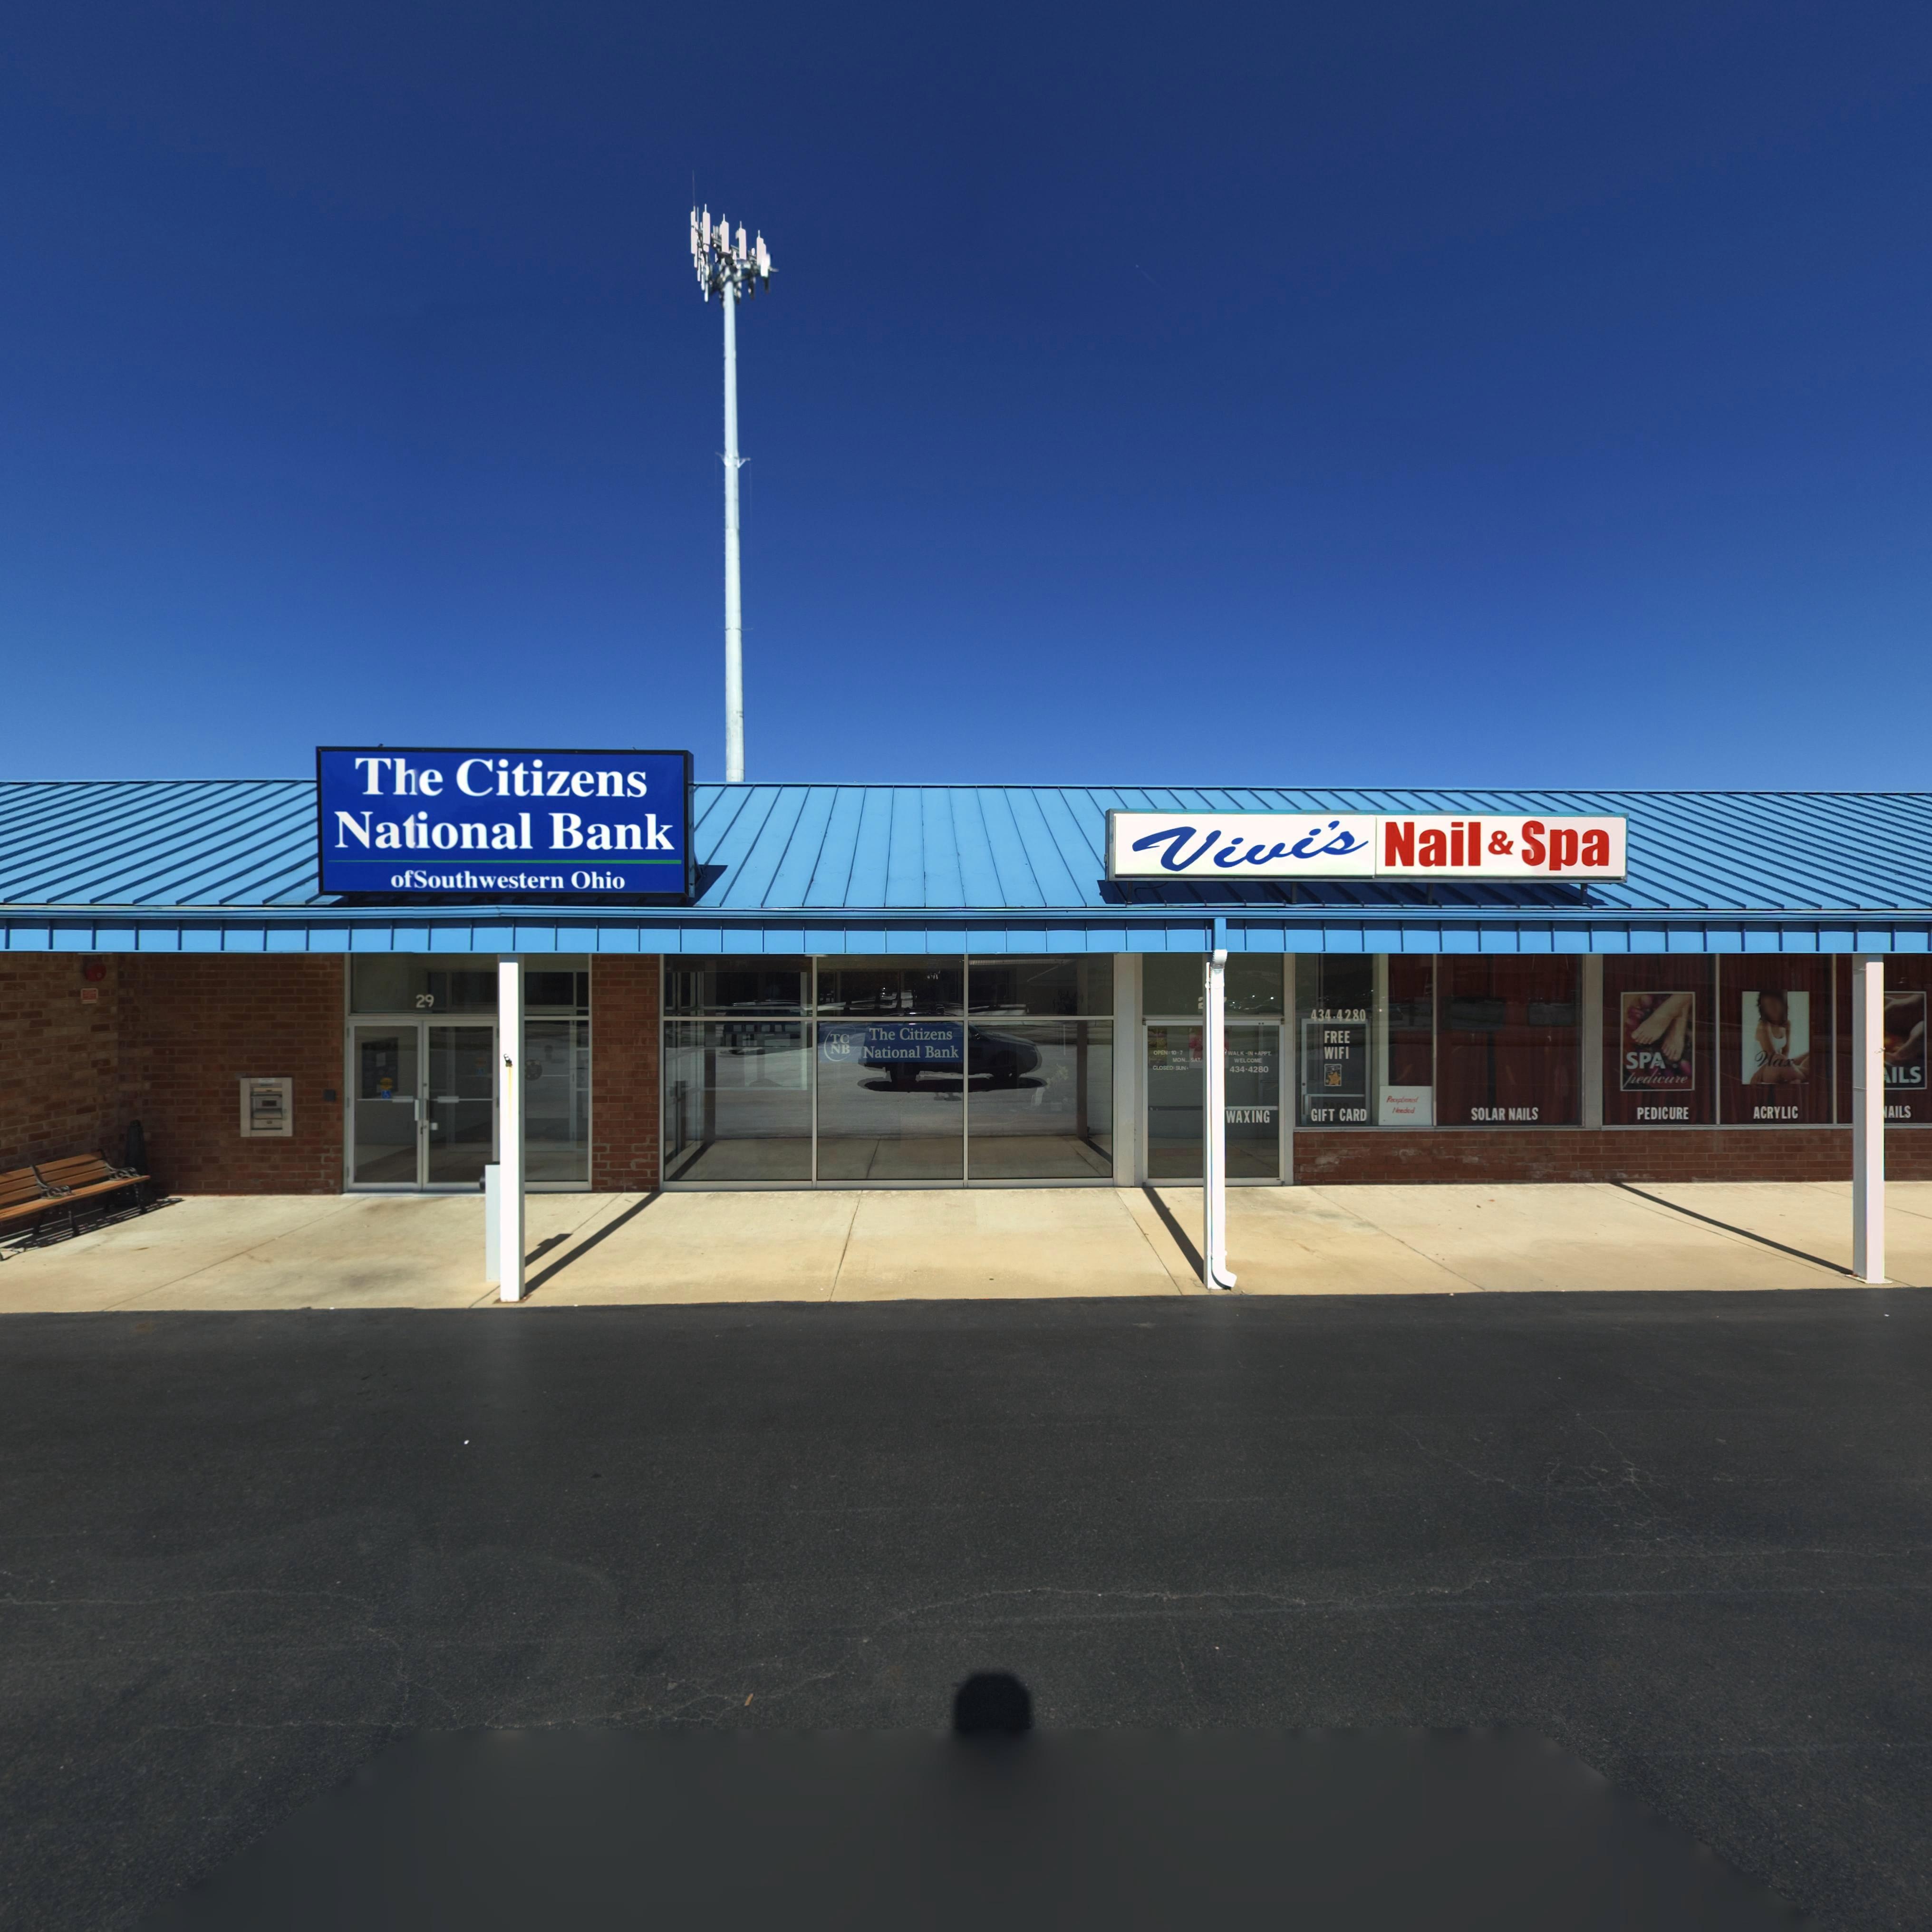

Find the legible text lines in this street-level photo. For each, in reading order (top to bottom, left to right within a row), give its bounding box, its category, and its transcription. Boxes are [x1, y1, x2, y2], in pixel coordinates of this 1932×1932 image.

[352, 756, 649, 800] BusinessName: The Citizens
[331, 810, 676, 851] BusinessName: National Bank
[1128, 819, 1611, 874] BusinessName: Vivi's Nail & Spa
[388, 868, 627, 891] BusinessName: of Southwestern Ohio
[415, 993, 435, 1009] StreetNumber: 29
[1309, 1008, 1367, 1023] None: 434-4280
[829, 1032, 851, 1044] None: TC
[867, 1026, 954, 1042] BusinessName: The Citizens
[1323, 1030, 1352, 1044] None: FREE
[829, 1043, 851, 1055] None: NB
[861, 1044, 960, 1059] BusinessName: National Bank
[1152, 1050, 1184, 1055] None: OPEN 10-7
[1152, 1065, 1187, 1071] None: CLOSED: SUN
[1172, 1057, 1186, 1063] None: MON
[1190, 1057, 1201, 1063] None: SAT
[1233, 1057, 1263, 1063] None: WELCOME
[1228, 1065, 1269, 1073] None: 434-4280
[1227, 1050, 1273, 1057] None: WALK-IN * APPT.
[1323, 1045, 1350, 1060] None: WIFI
[1624, 1051, 1668, 1070] None: SPA
[1621, 1070, 1690, 1089] None: pedicure
[1753, 1049, 1797, 1068] None: Wax
[1891, 1066, 1922, 1084] None: ILS
[1384, 1095, 1421, 1105] None: Receptionist
[1225, 1110, 1271, 1124] None: WAXING
[1310, 1108, 1368, 1122] None: GIFT CARD
[1391, 1105, 1417, 1115] None: Needed
[1470, 1106, 1539, 1122] None: SOLAR NAILS
[1636, 1105, 1690, 1121] None: PEDICURE
[1753, 1105, 1799, 1120] None: ACRYLIC
[1887, 1105, 1913, 1120] None: AILS